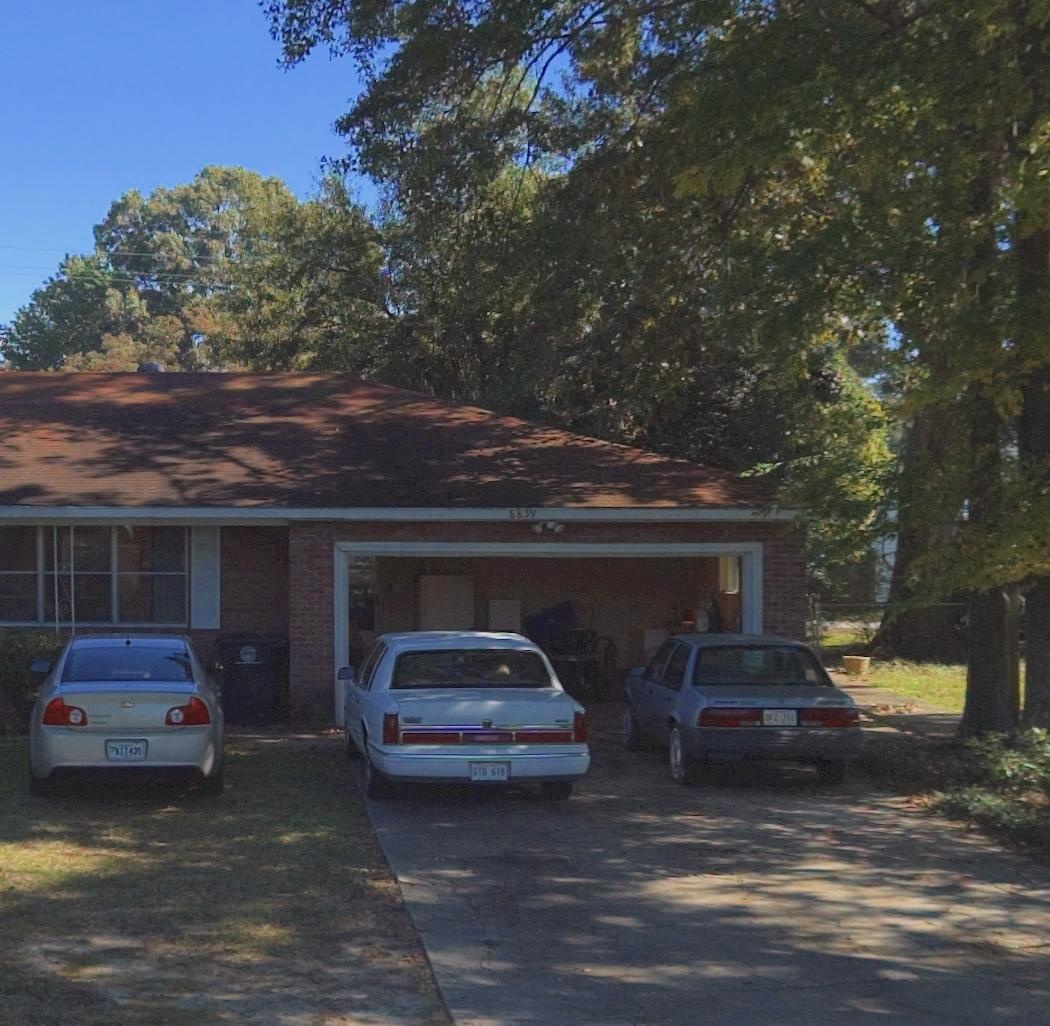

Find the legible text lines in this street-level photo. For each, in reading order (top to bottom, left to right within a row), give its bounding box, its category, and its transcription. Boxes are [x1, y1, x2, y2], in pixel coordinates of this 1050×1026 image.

[507, 506, 537, 521] StreetNumber: 88*9
[119, 745, 143, 757] None: 11435
[472, 766, 507, 778] None: *10 61*